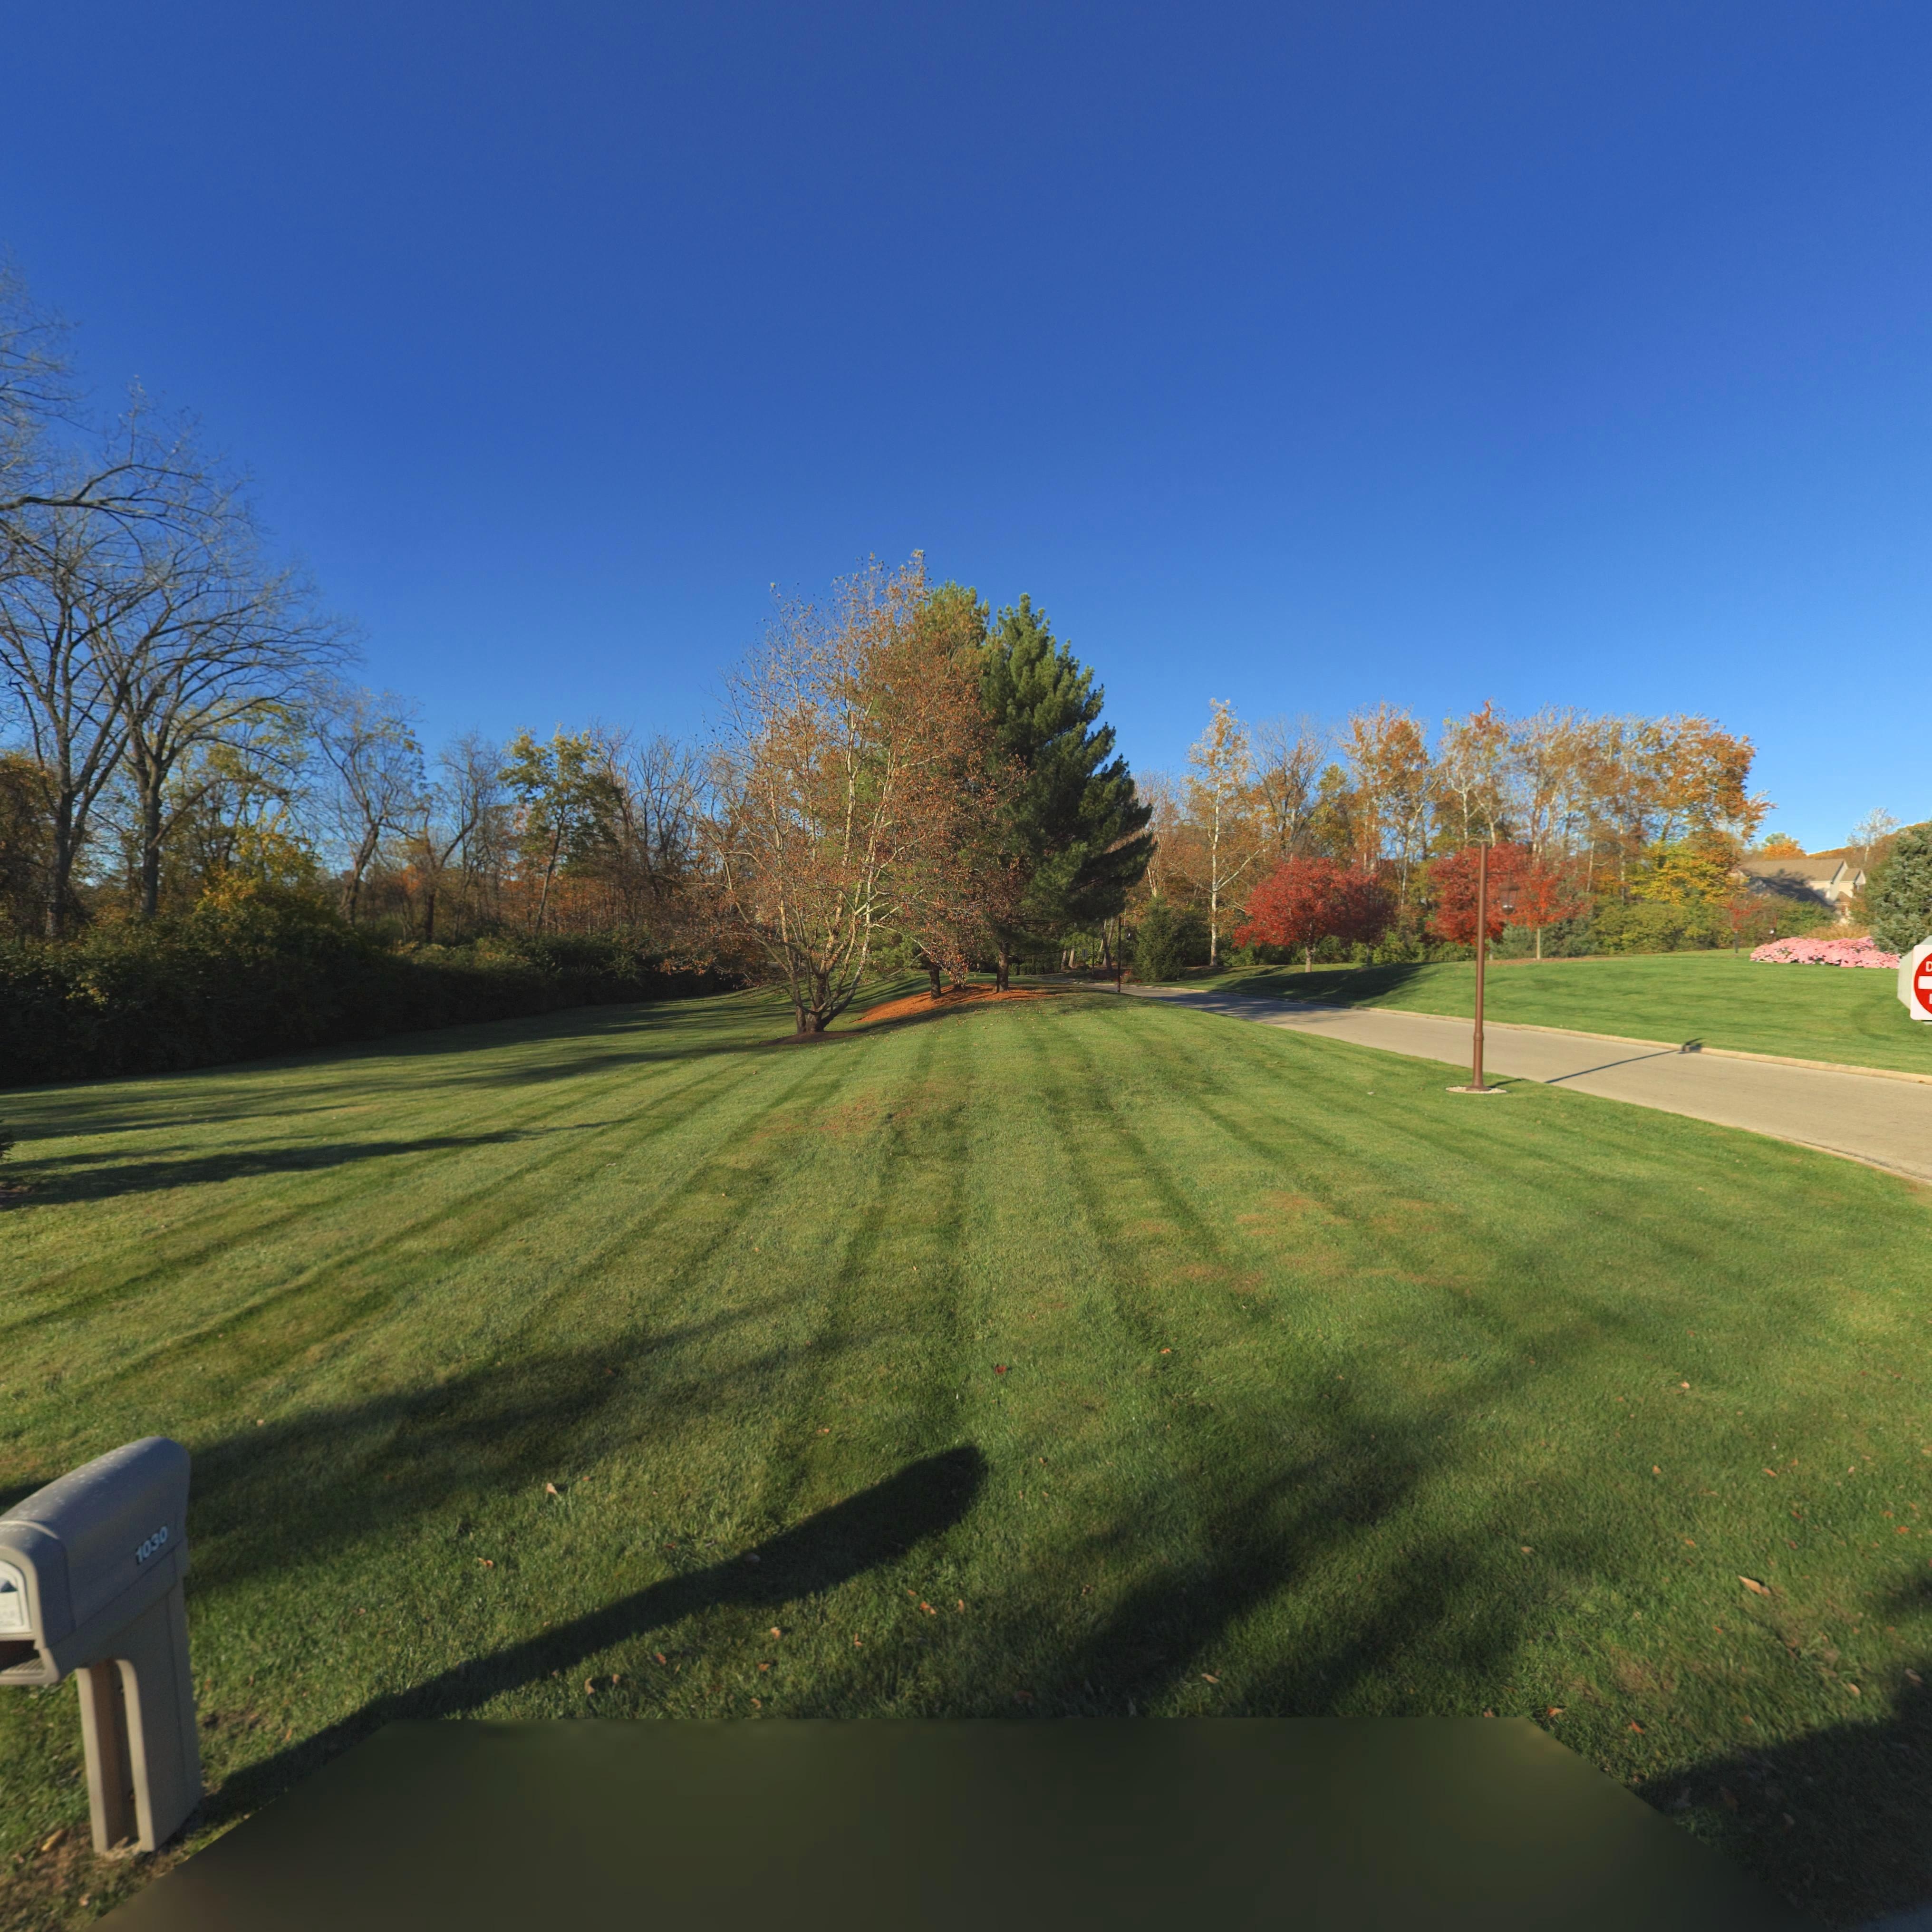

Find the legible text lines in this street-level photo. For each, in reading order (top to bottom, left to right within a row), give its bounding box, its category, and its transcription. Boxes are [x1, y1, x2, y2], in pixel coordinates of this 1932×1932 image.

[133, 1523, 170, 1567] StreetNumber: 1030